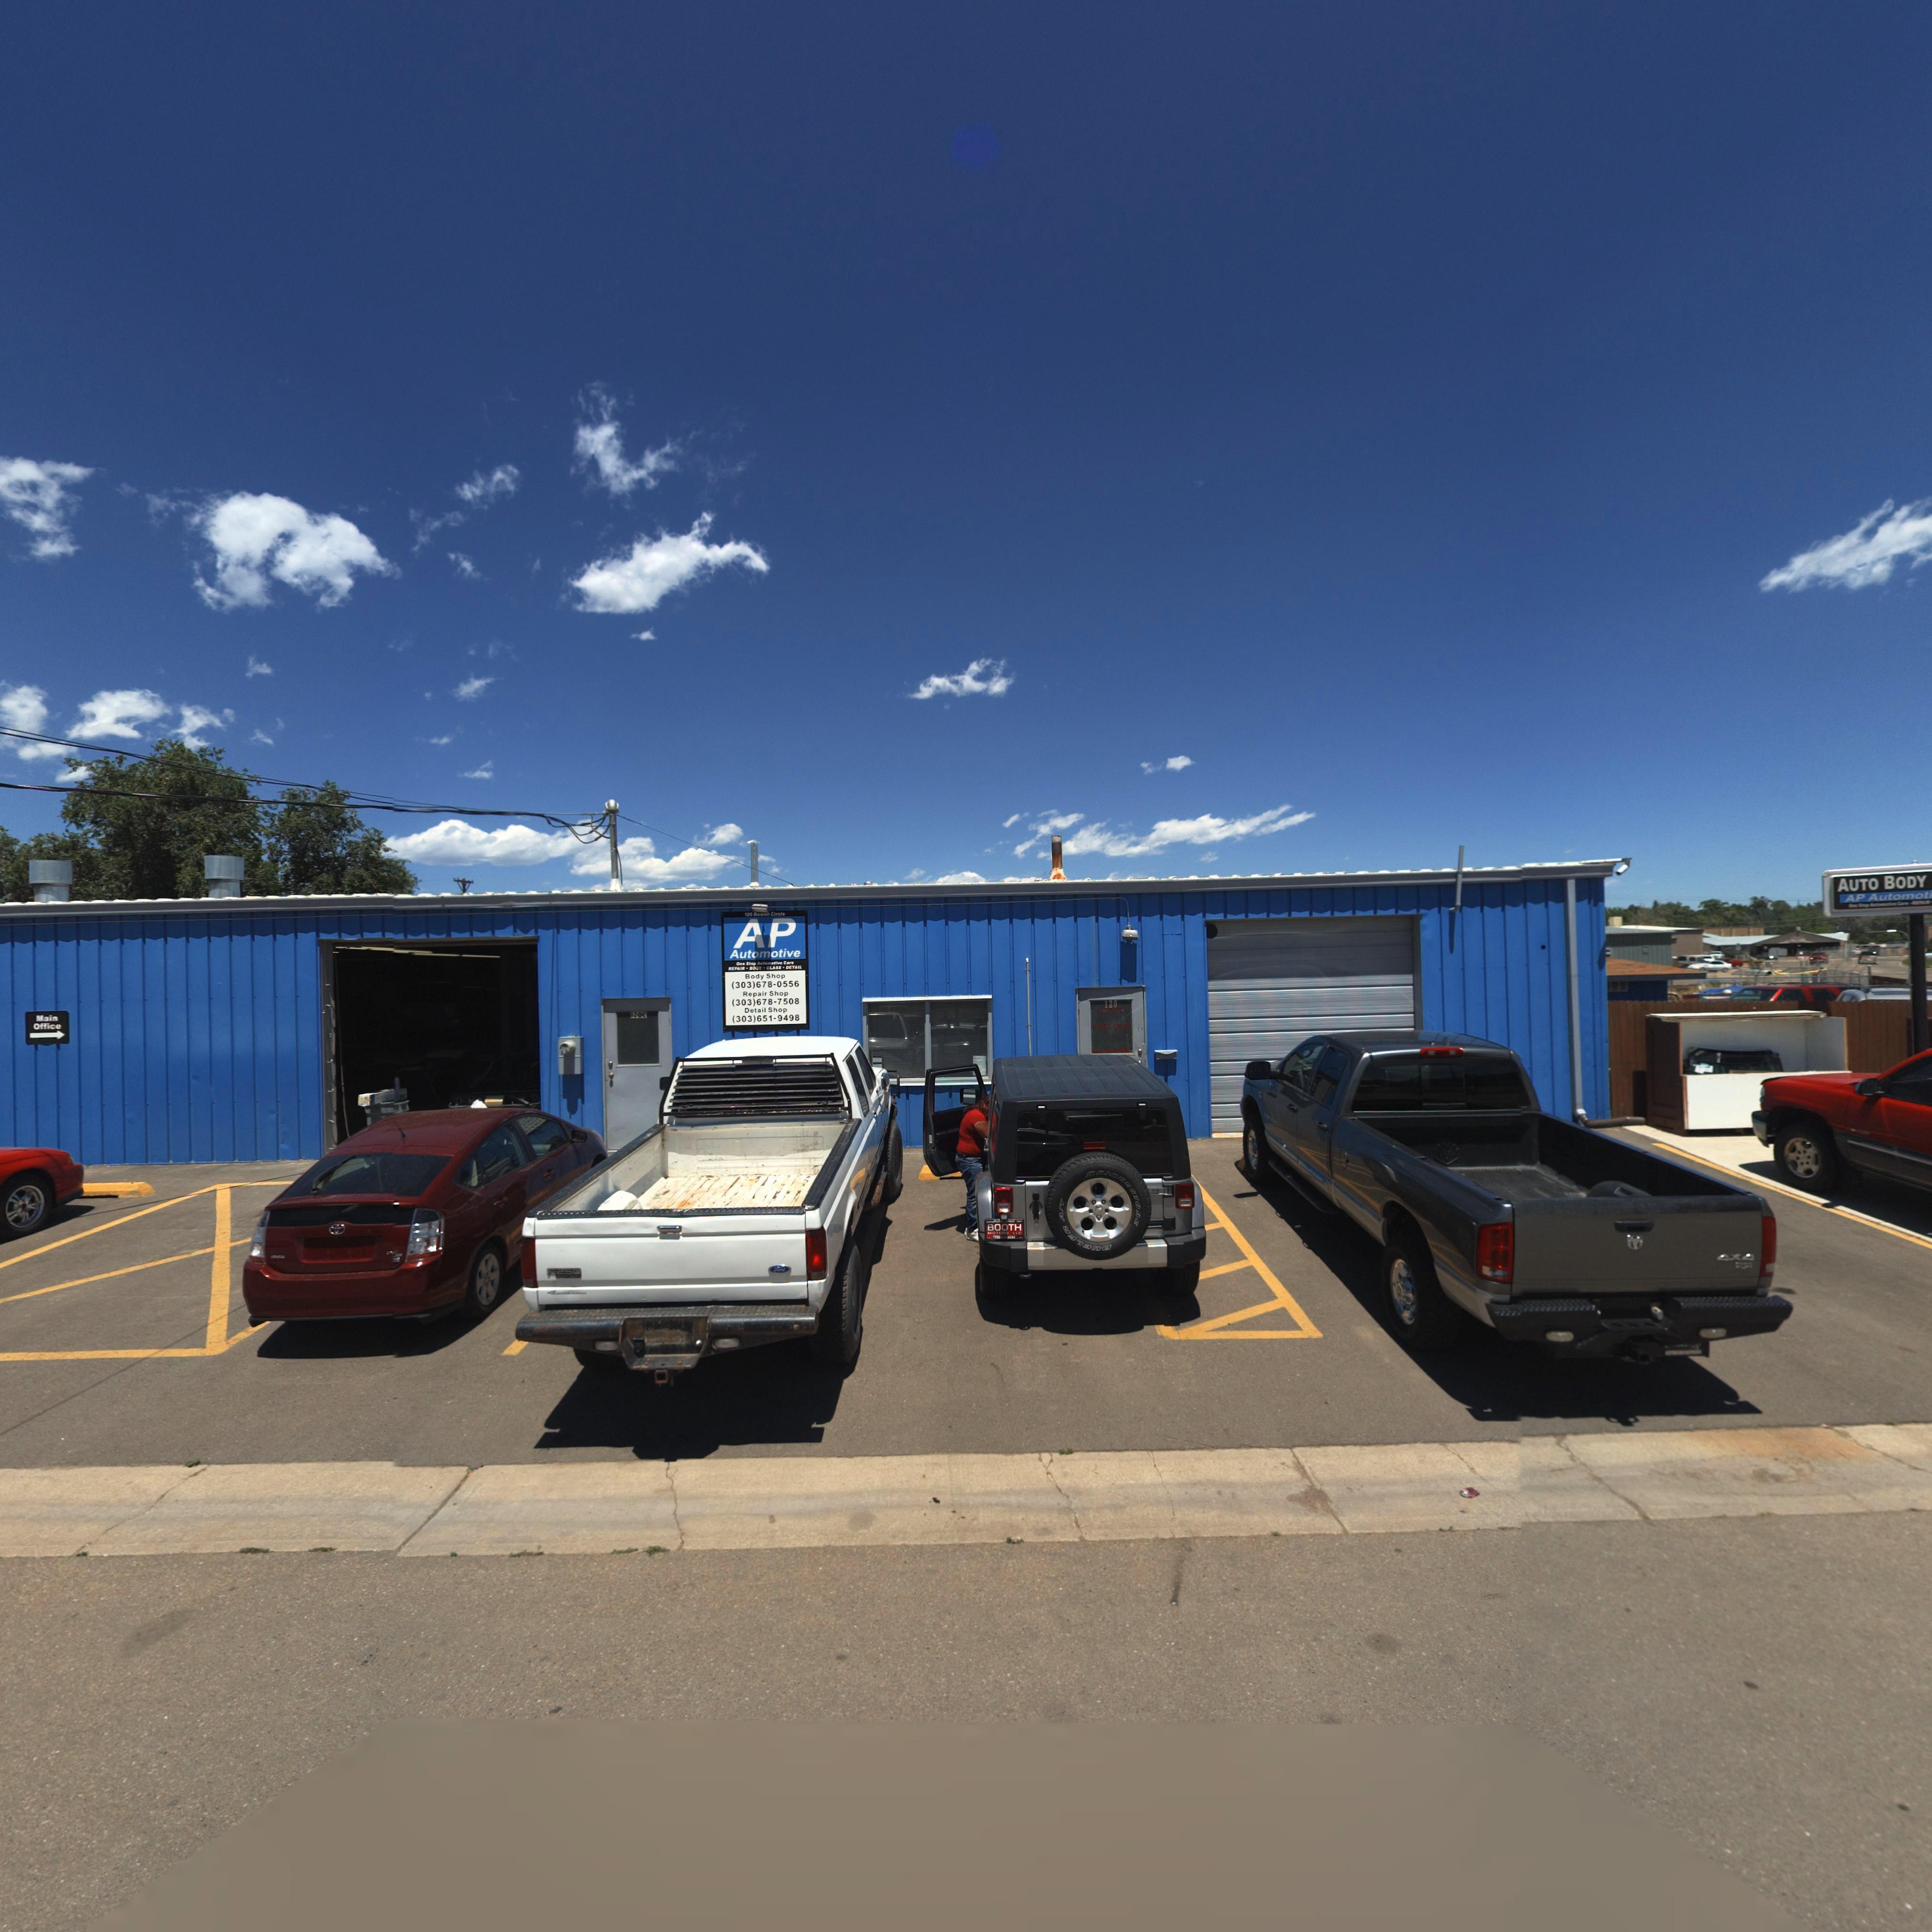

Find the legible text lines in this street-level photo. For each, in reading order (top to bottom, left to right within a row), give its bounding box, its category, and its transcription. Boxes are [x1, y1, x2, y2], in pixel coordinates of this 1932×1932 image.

[1837, 875, 1927, 892] BusinessName: AUTO BODY
[1845, 891, 1929, 902] BusinessName: AP Automot
[744, 912, 752, 916] StreetNumber: 120
[753, 911, 785, 916] StreetName: Bo**n C**cl*
[733, 917, 796, 948] BusinessName: AP
[729, 948, 801, 958] BusinessName: Automotive
[1104, 999, 1117, 1008] StreetNumber: 120
[630, 1011, 646, 1018] StreetNumber: 120C